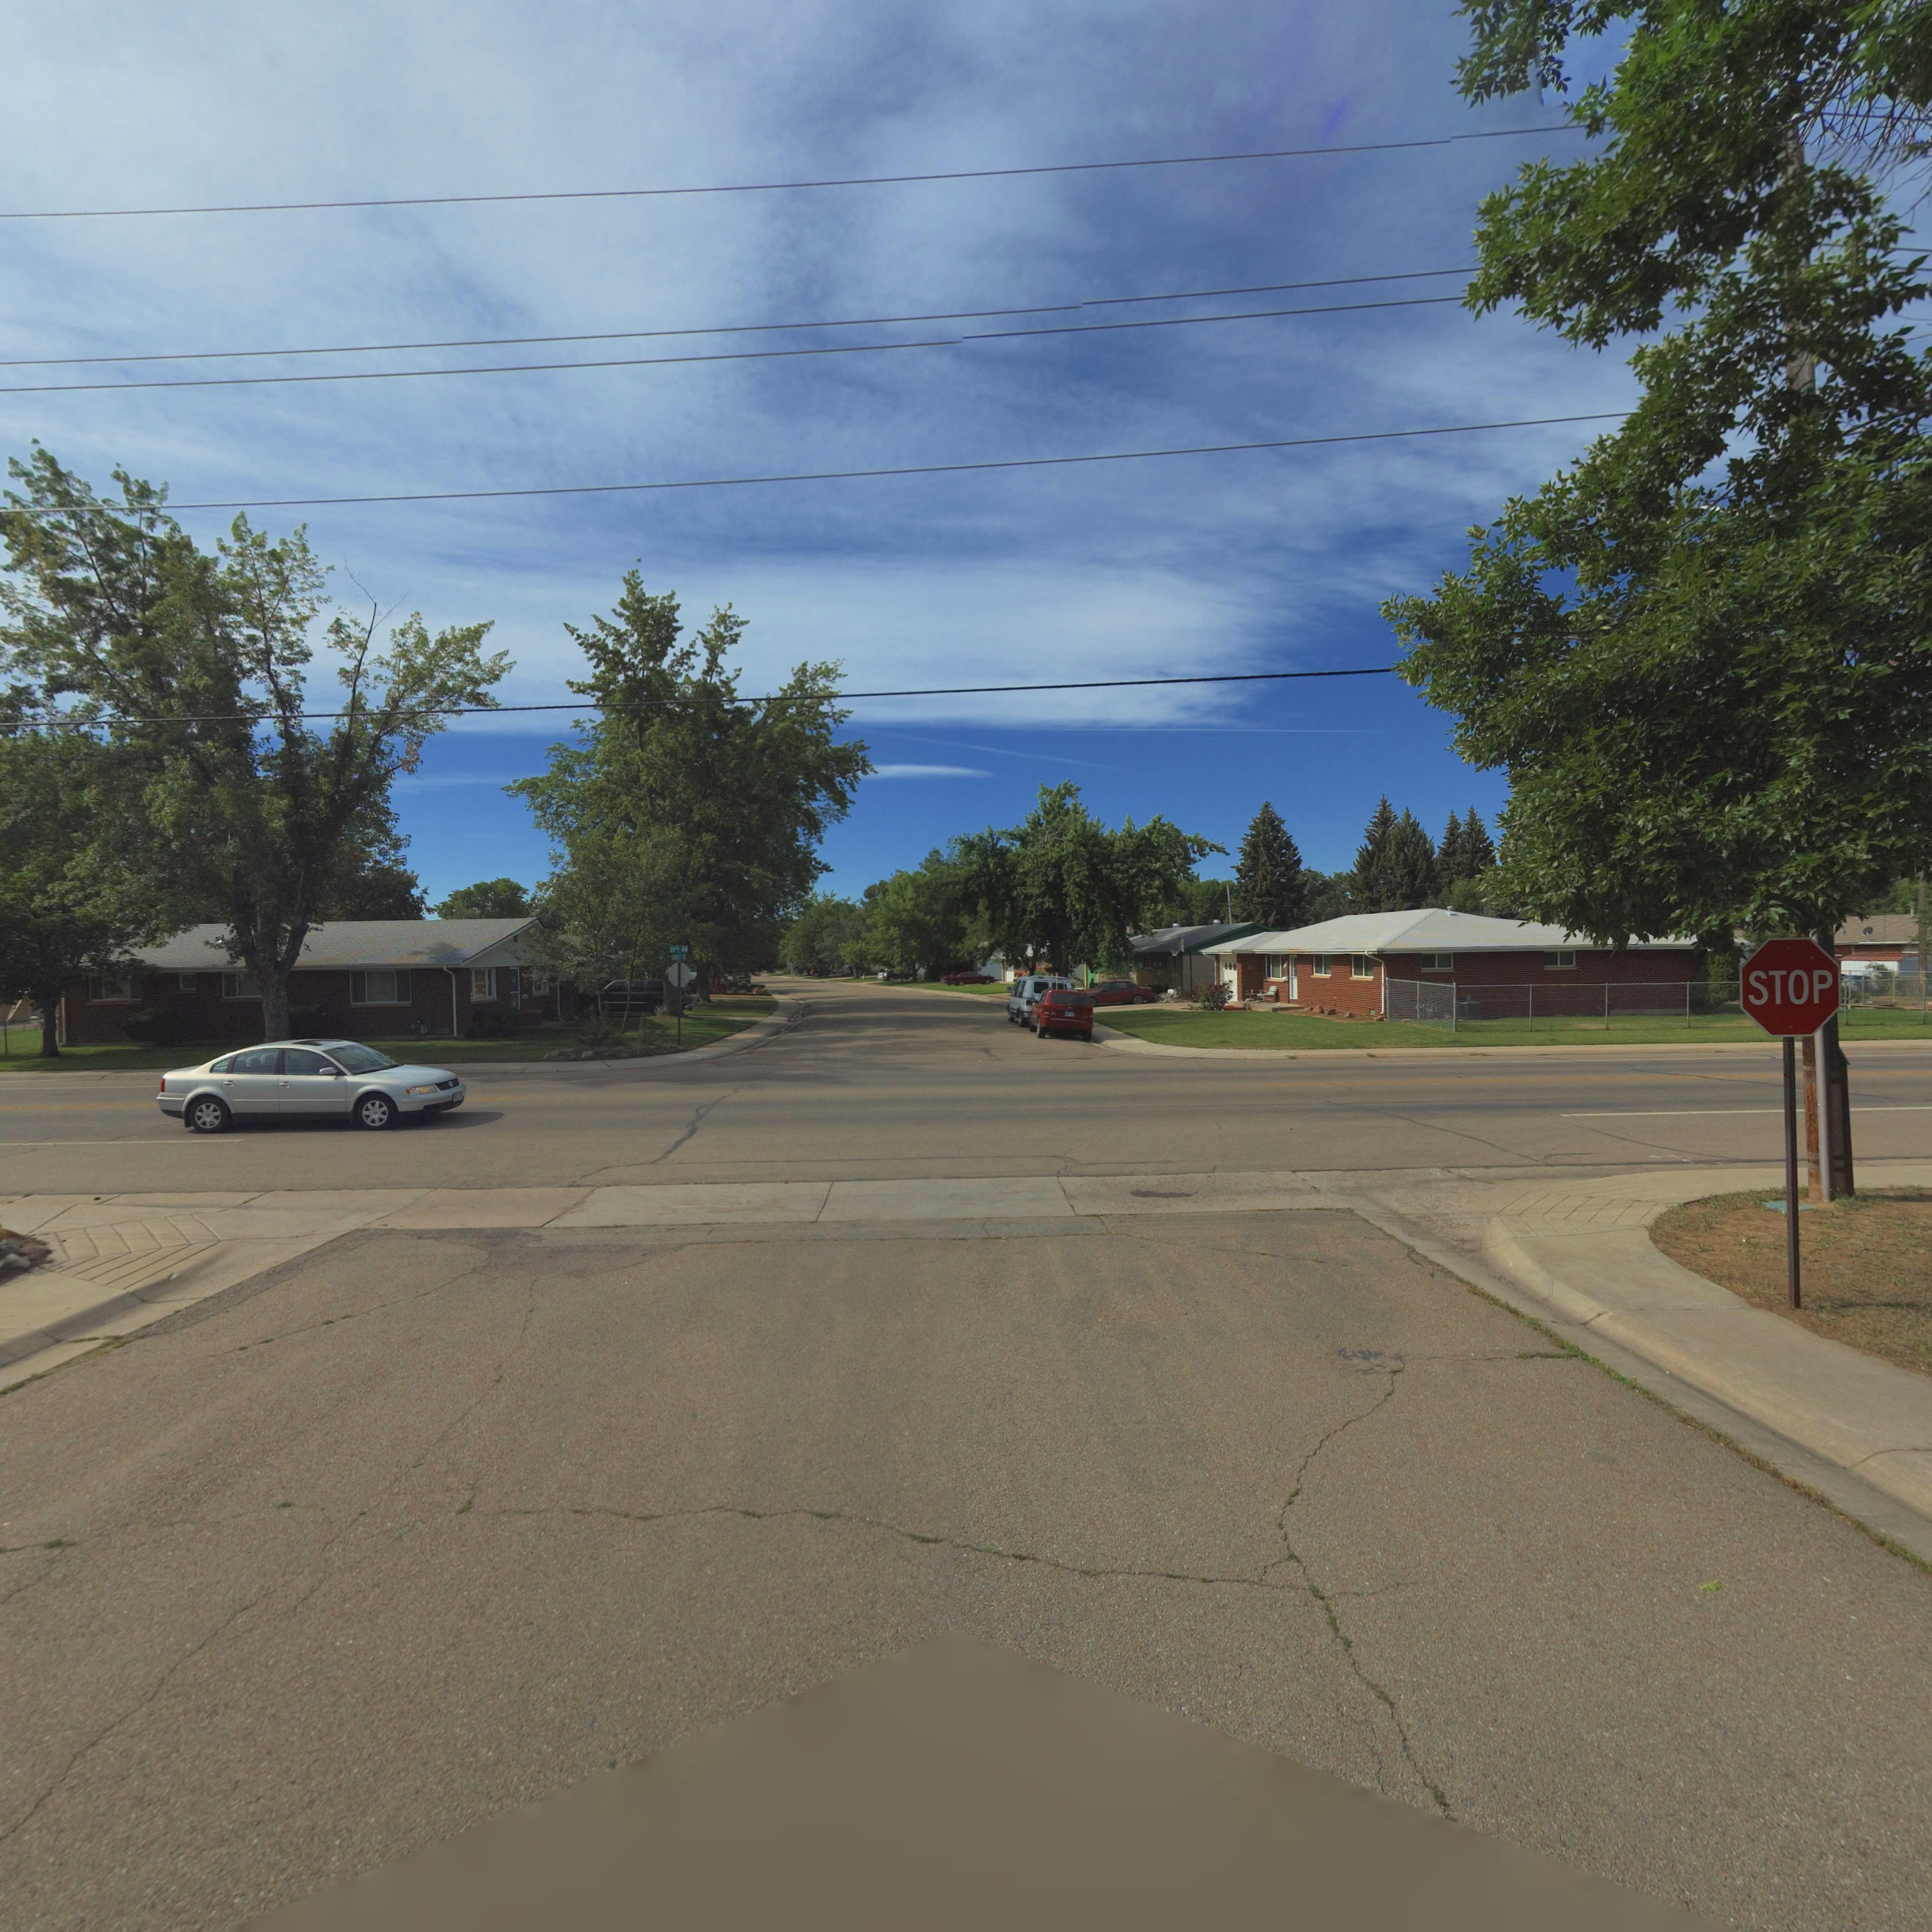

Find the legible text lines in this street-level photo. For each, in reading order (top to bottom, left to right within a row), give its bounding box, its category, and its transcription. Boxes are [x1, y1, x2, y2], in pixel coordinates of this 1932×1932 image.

[670, 946, 688, 952] StreetName: 19** AV
[671, 954, 686, 960] StreetName: C**** ST